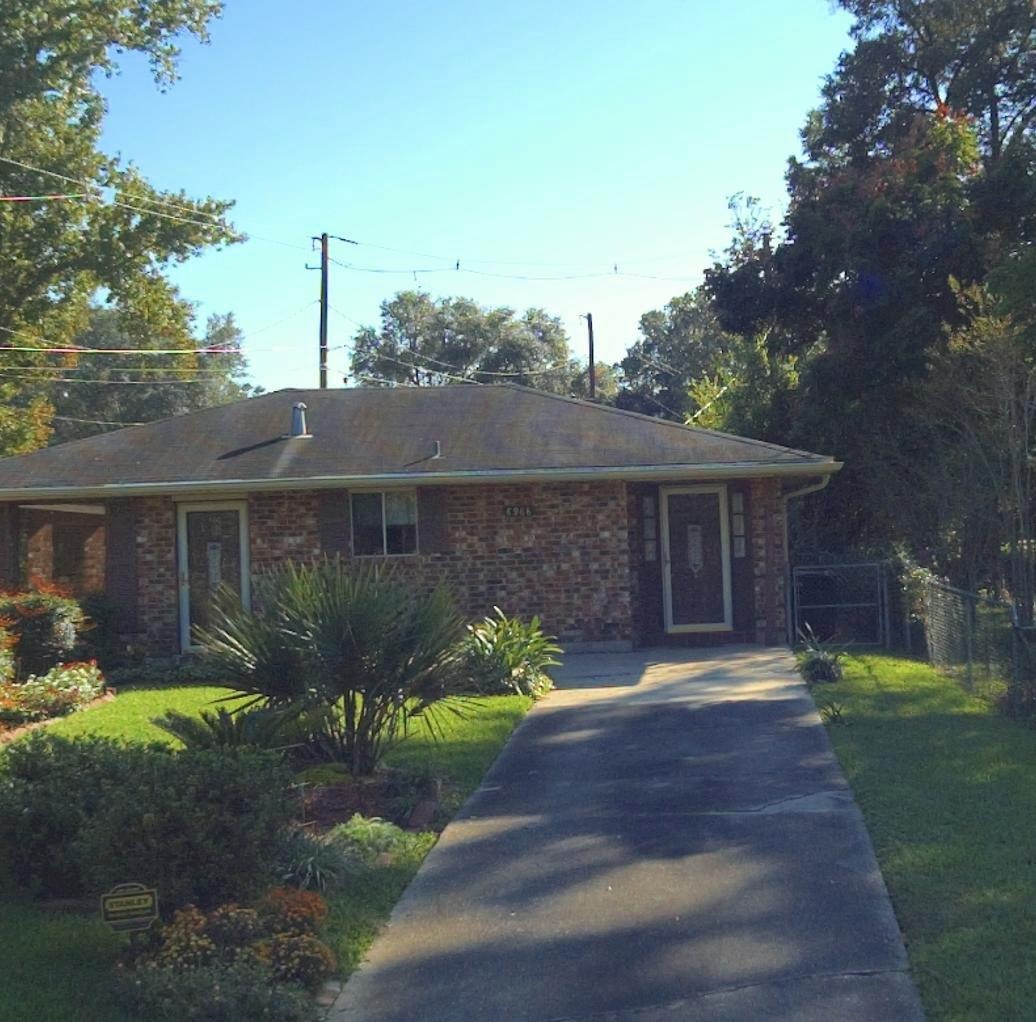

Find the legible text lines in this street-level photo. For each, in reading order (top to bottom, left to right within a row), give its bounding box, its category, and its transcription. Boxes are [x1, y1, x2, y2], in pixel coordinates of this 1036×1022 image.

[505, 507, 532, 516] StreetNumber: 8965
[108, 897, 150, 910] None: STANLEY